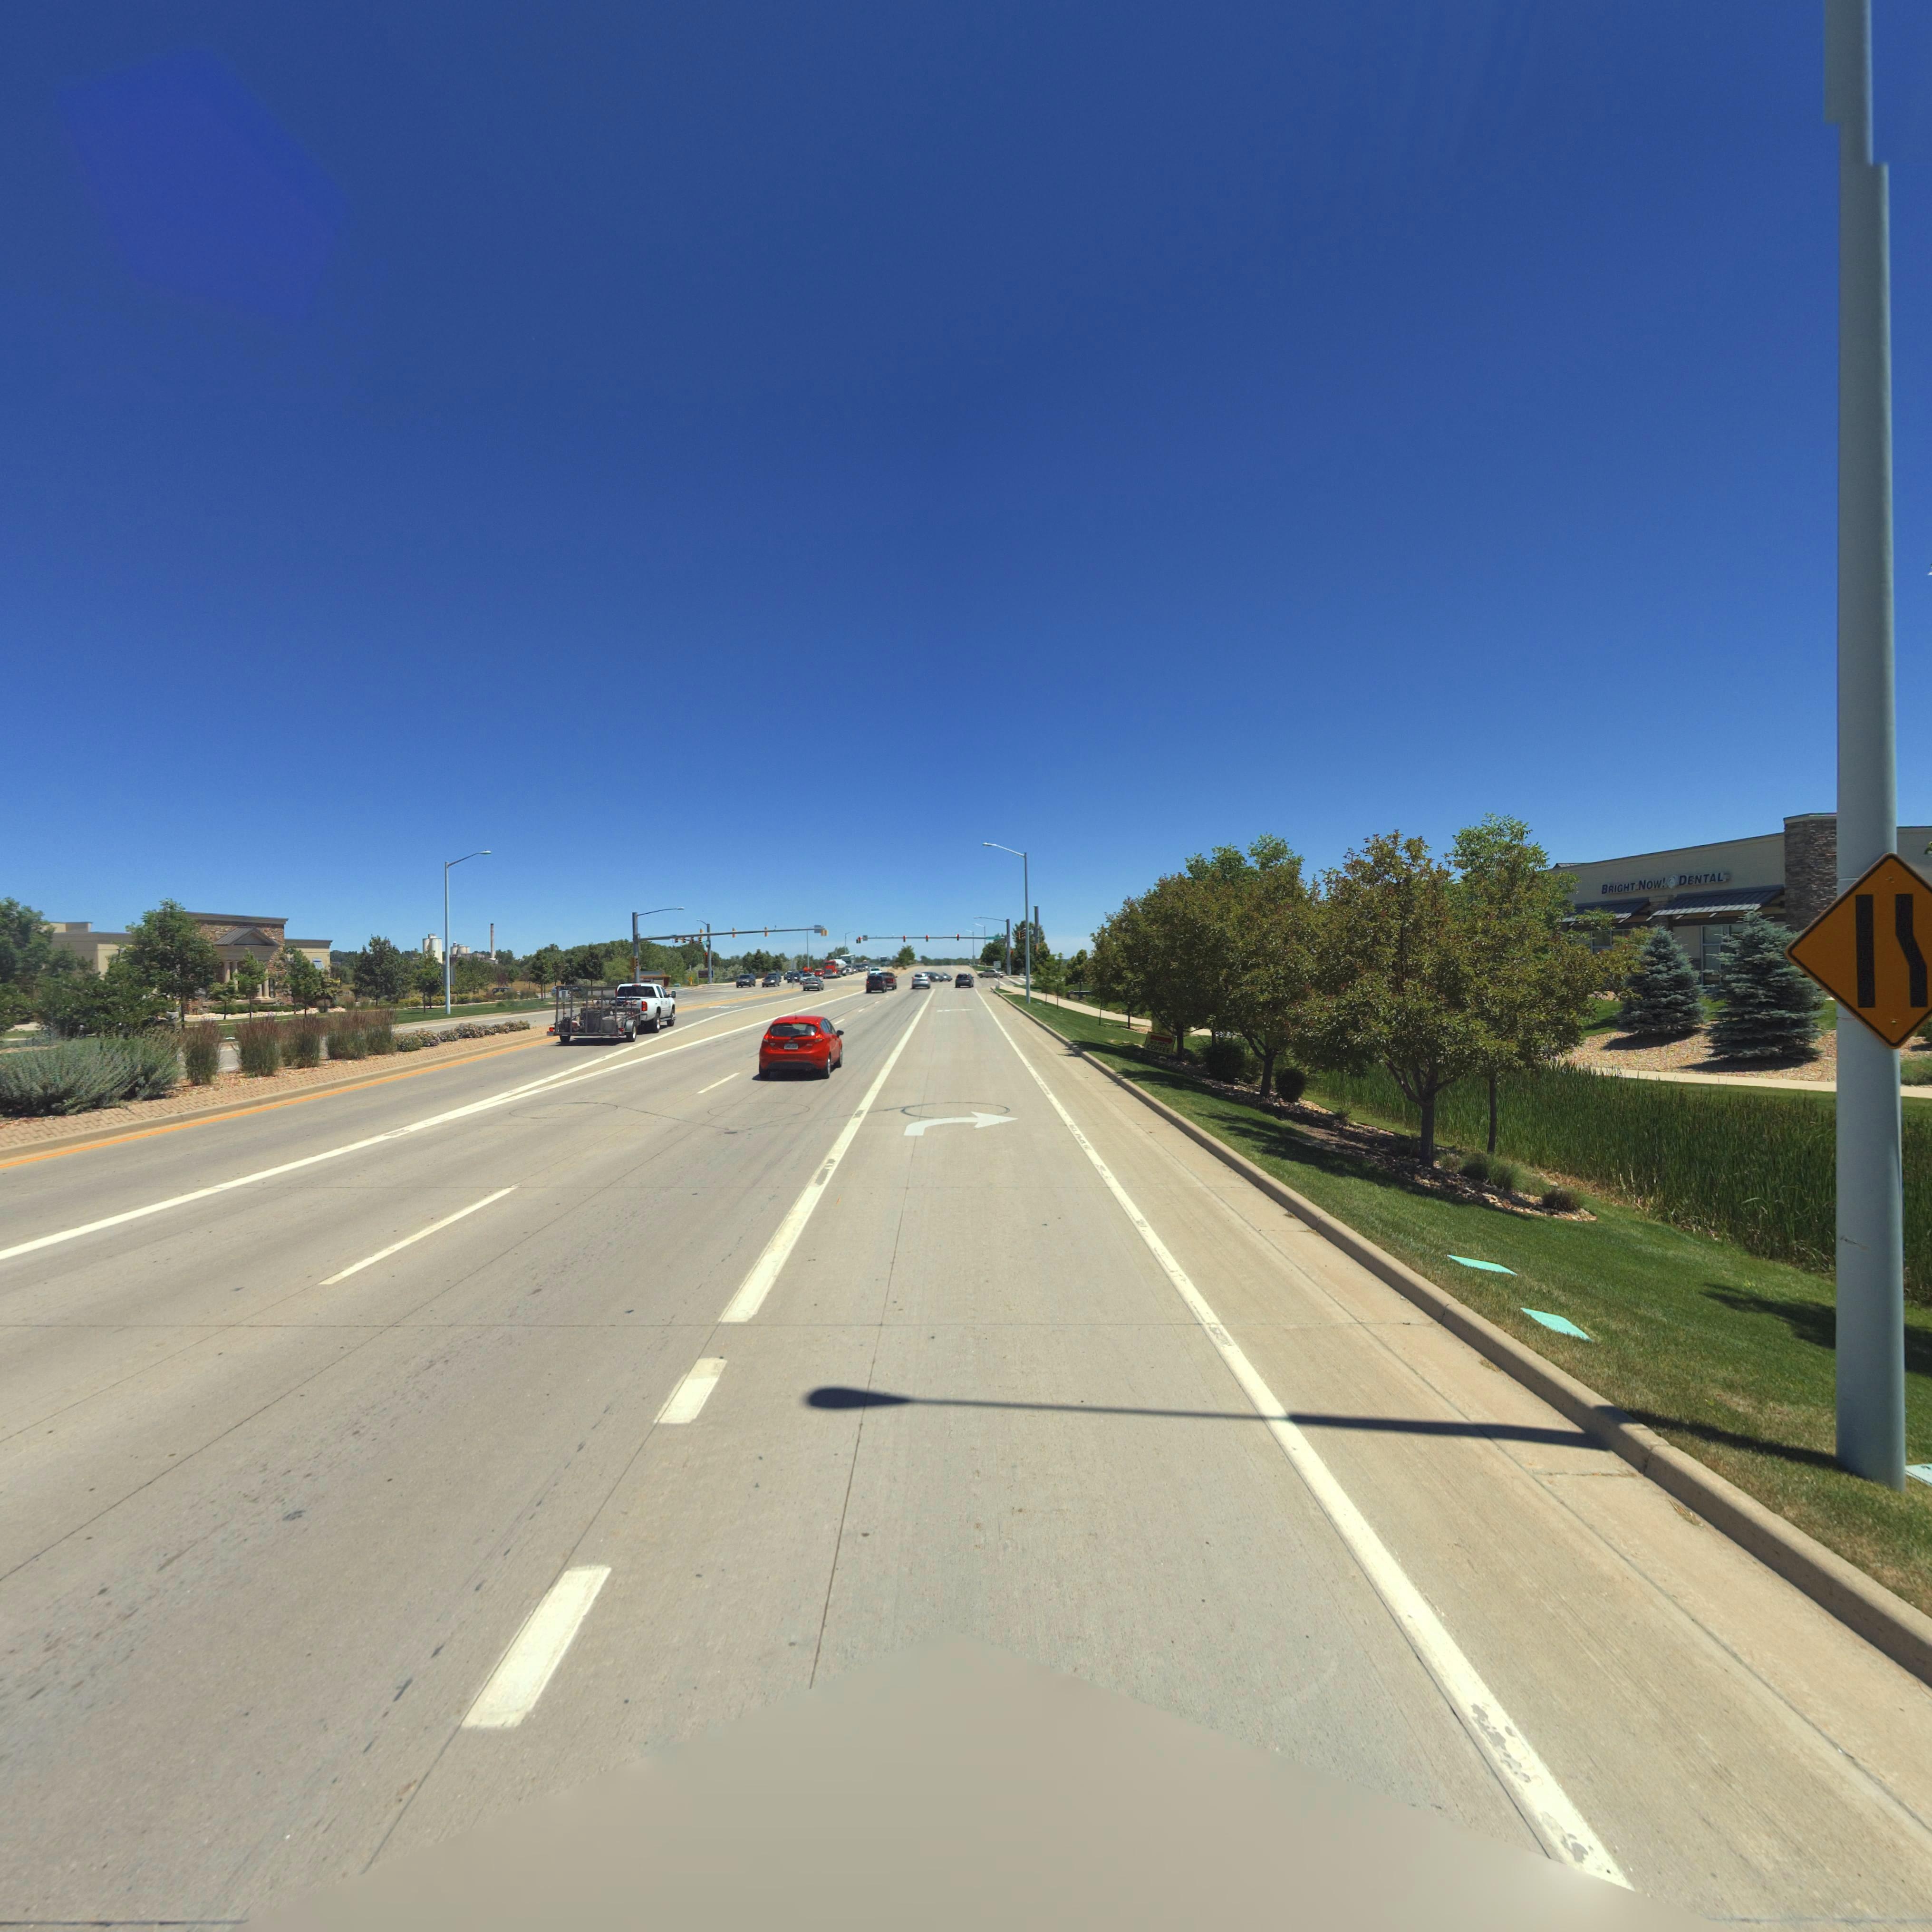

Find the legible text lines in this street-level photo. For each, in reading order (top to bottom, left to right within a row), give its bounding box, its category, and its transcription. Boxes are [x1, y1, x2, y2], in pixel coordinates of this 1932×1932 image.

[1601, 872, 1724, 894] BusinessName: BRIGHT NOW! DENTAL